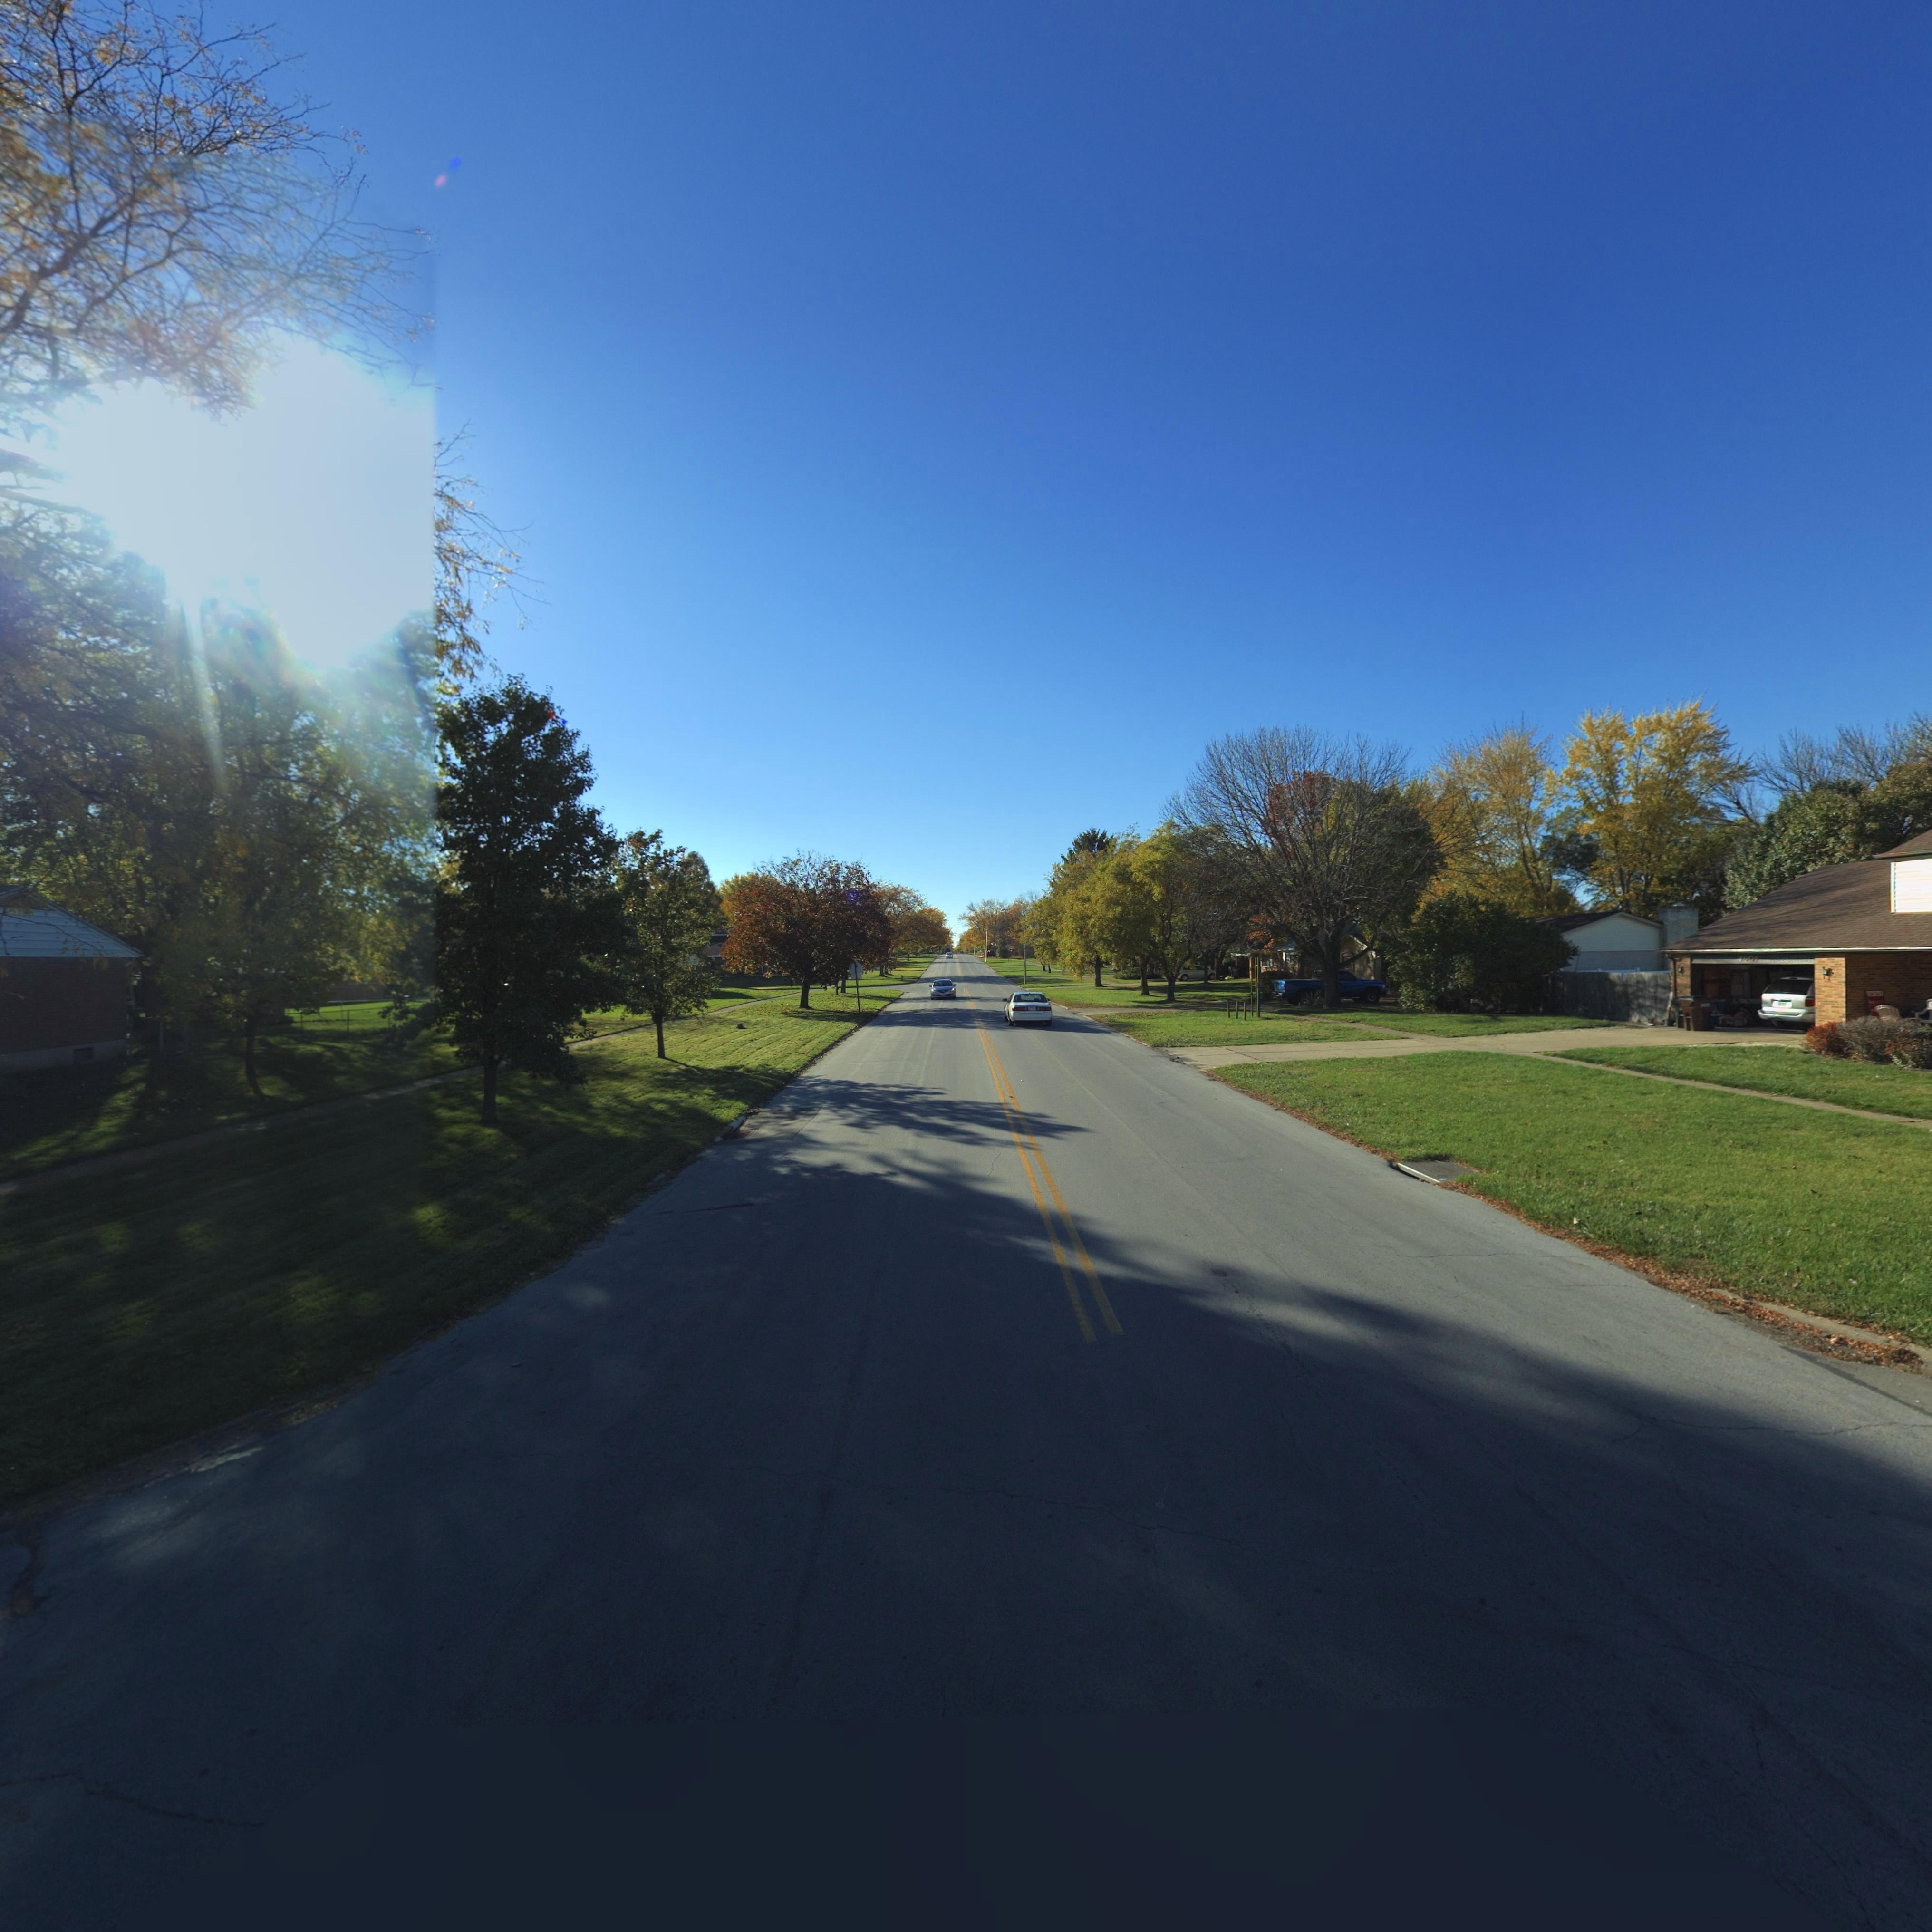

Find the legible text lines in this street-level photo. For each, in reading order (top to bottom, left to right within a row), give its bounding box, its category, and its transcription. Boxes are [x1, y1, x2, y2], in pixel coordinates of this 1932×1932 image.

[1735, 955, 1758, 963] StreetNumber: 4501